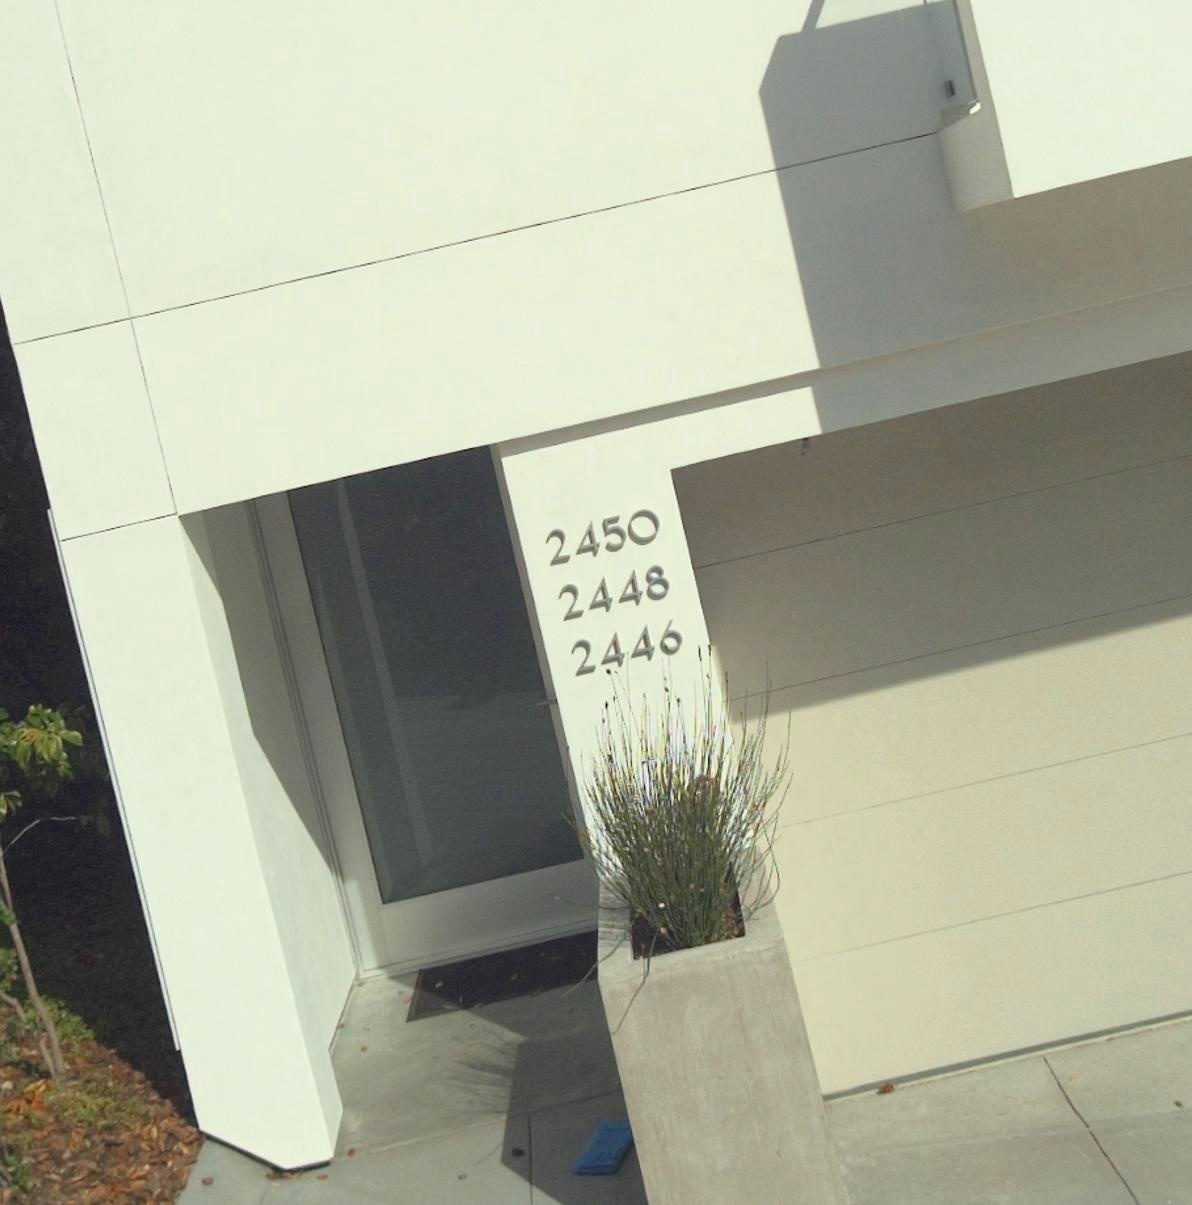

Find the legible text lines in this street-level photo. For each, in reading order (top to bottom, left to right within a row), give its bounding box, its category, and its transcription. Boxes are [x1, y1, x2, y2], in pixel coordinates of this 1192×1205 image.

[541, 503, 662, 566] StreetNumber: 2450
[556, 562, 672, 622] StreetNumber: 2448
[568, 616, 686, 677] StreetNumber: 2446